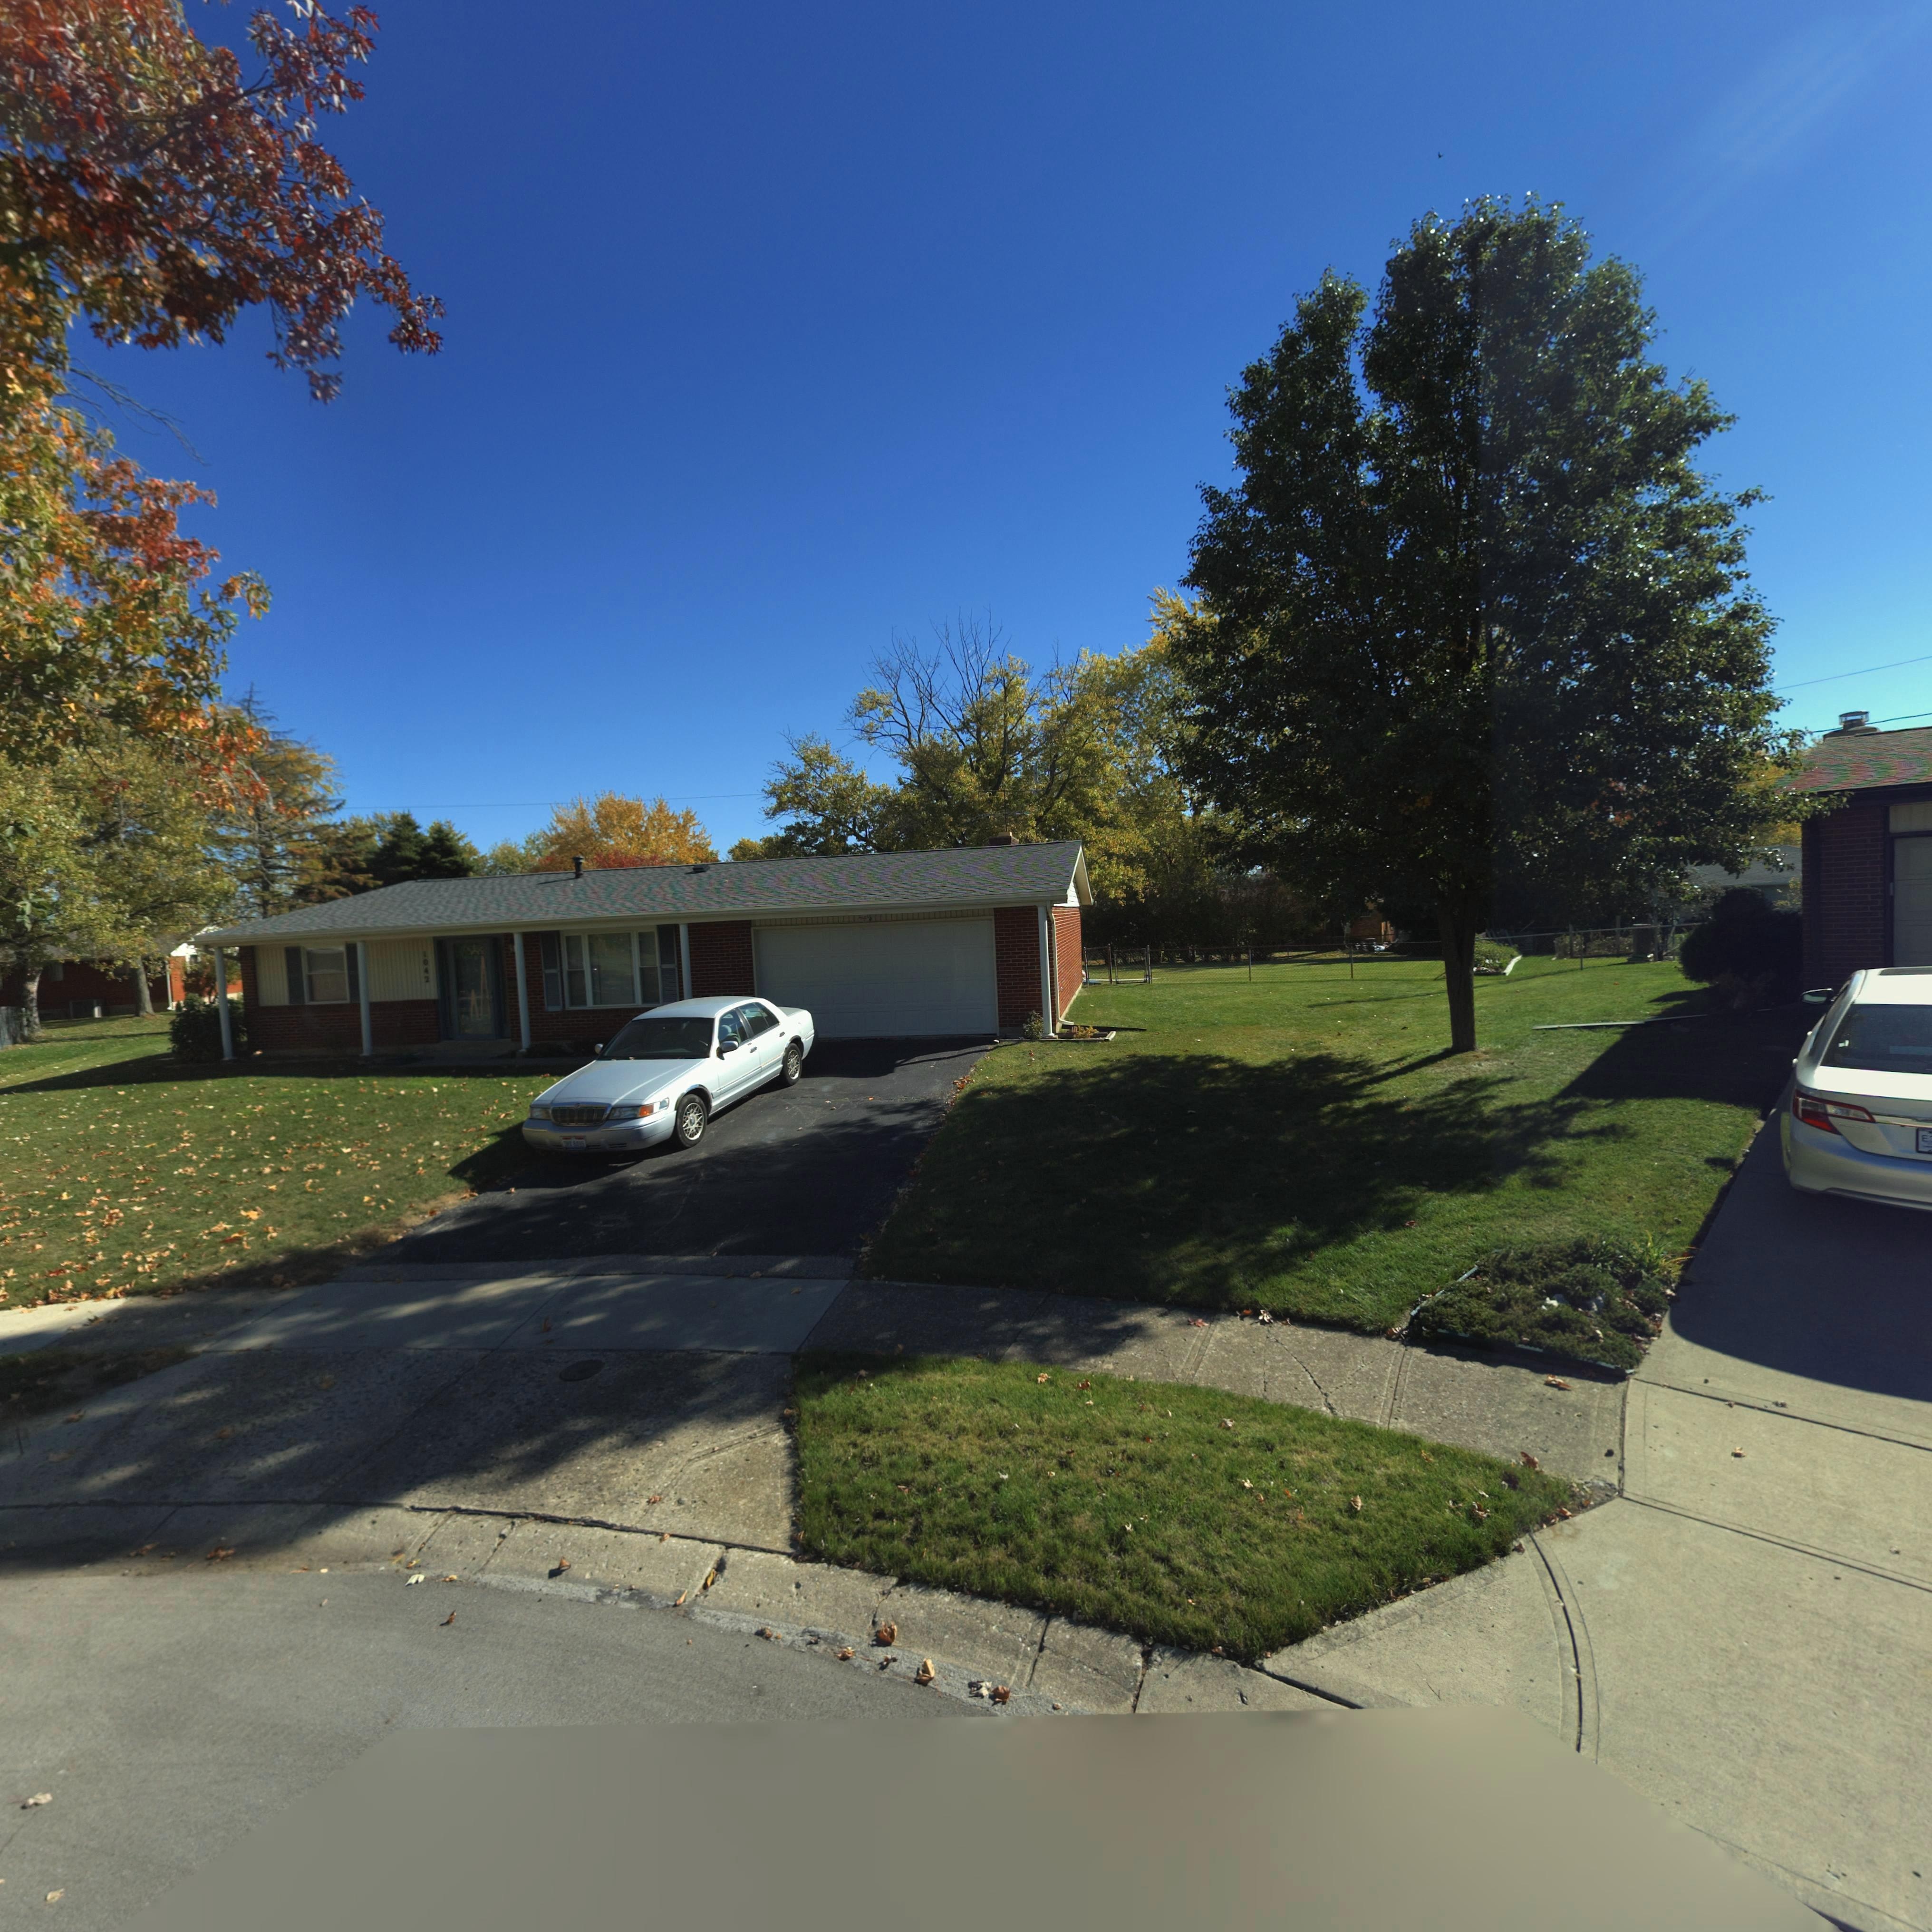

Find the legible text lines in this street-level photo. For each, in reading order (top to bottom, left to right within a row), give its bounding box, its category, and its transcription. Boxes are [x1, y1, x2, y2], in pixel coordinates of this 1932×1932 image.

[422, 949, 431, 984] StreetNumber: 1042